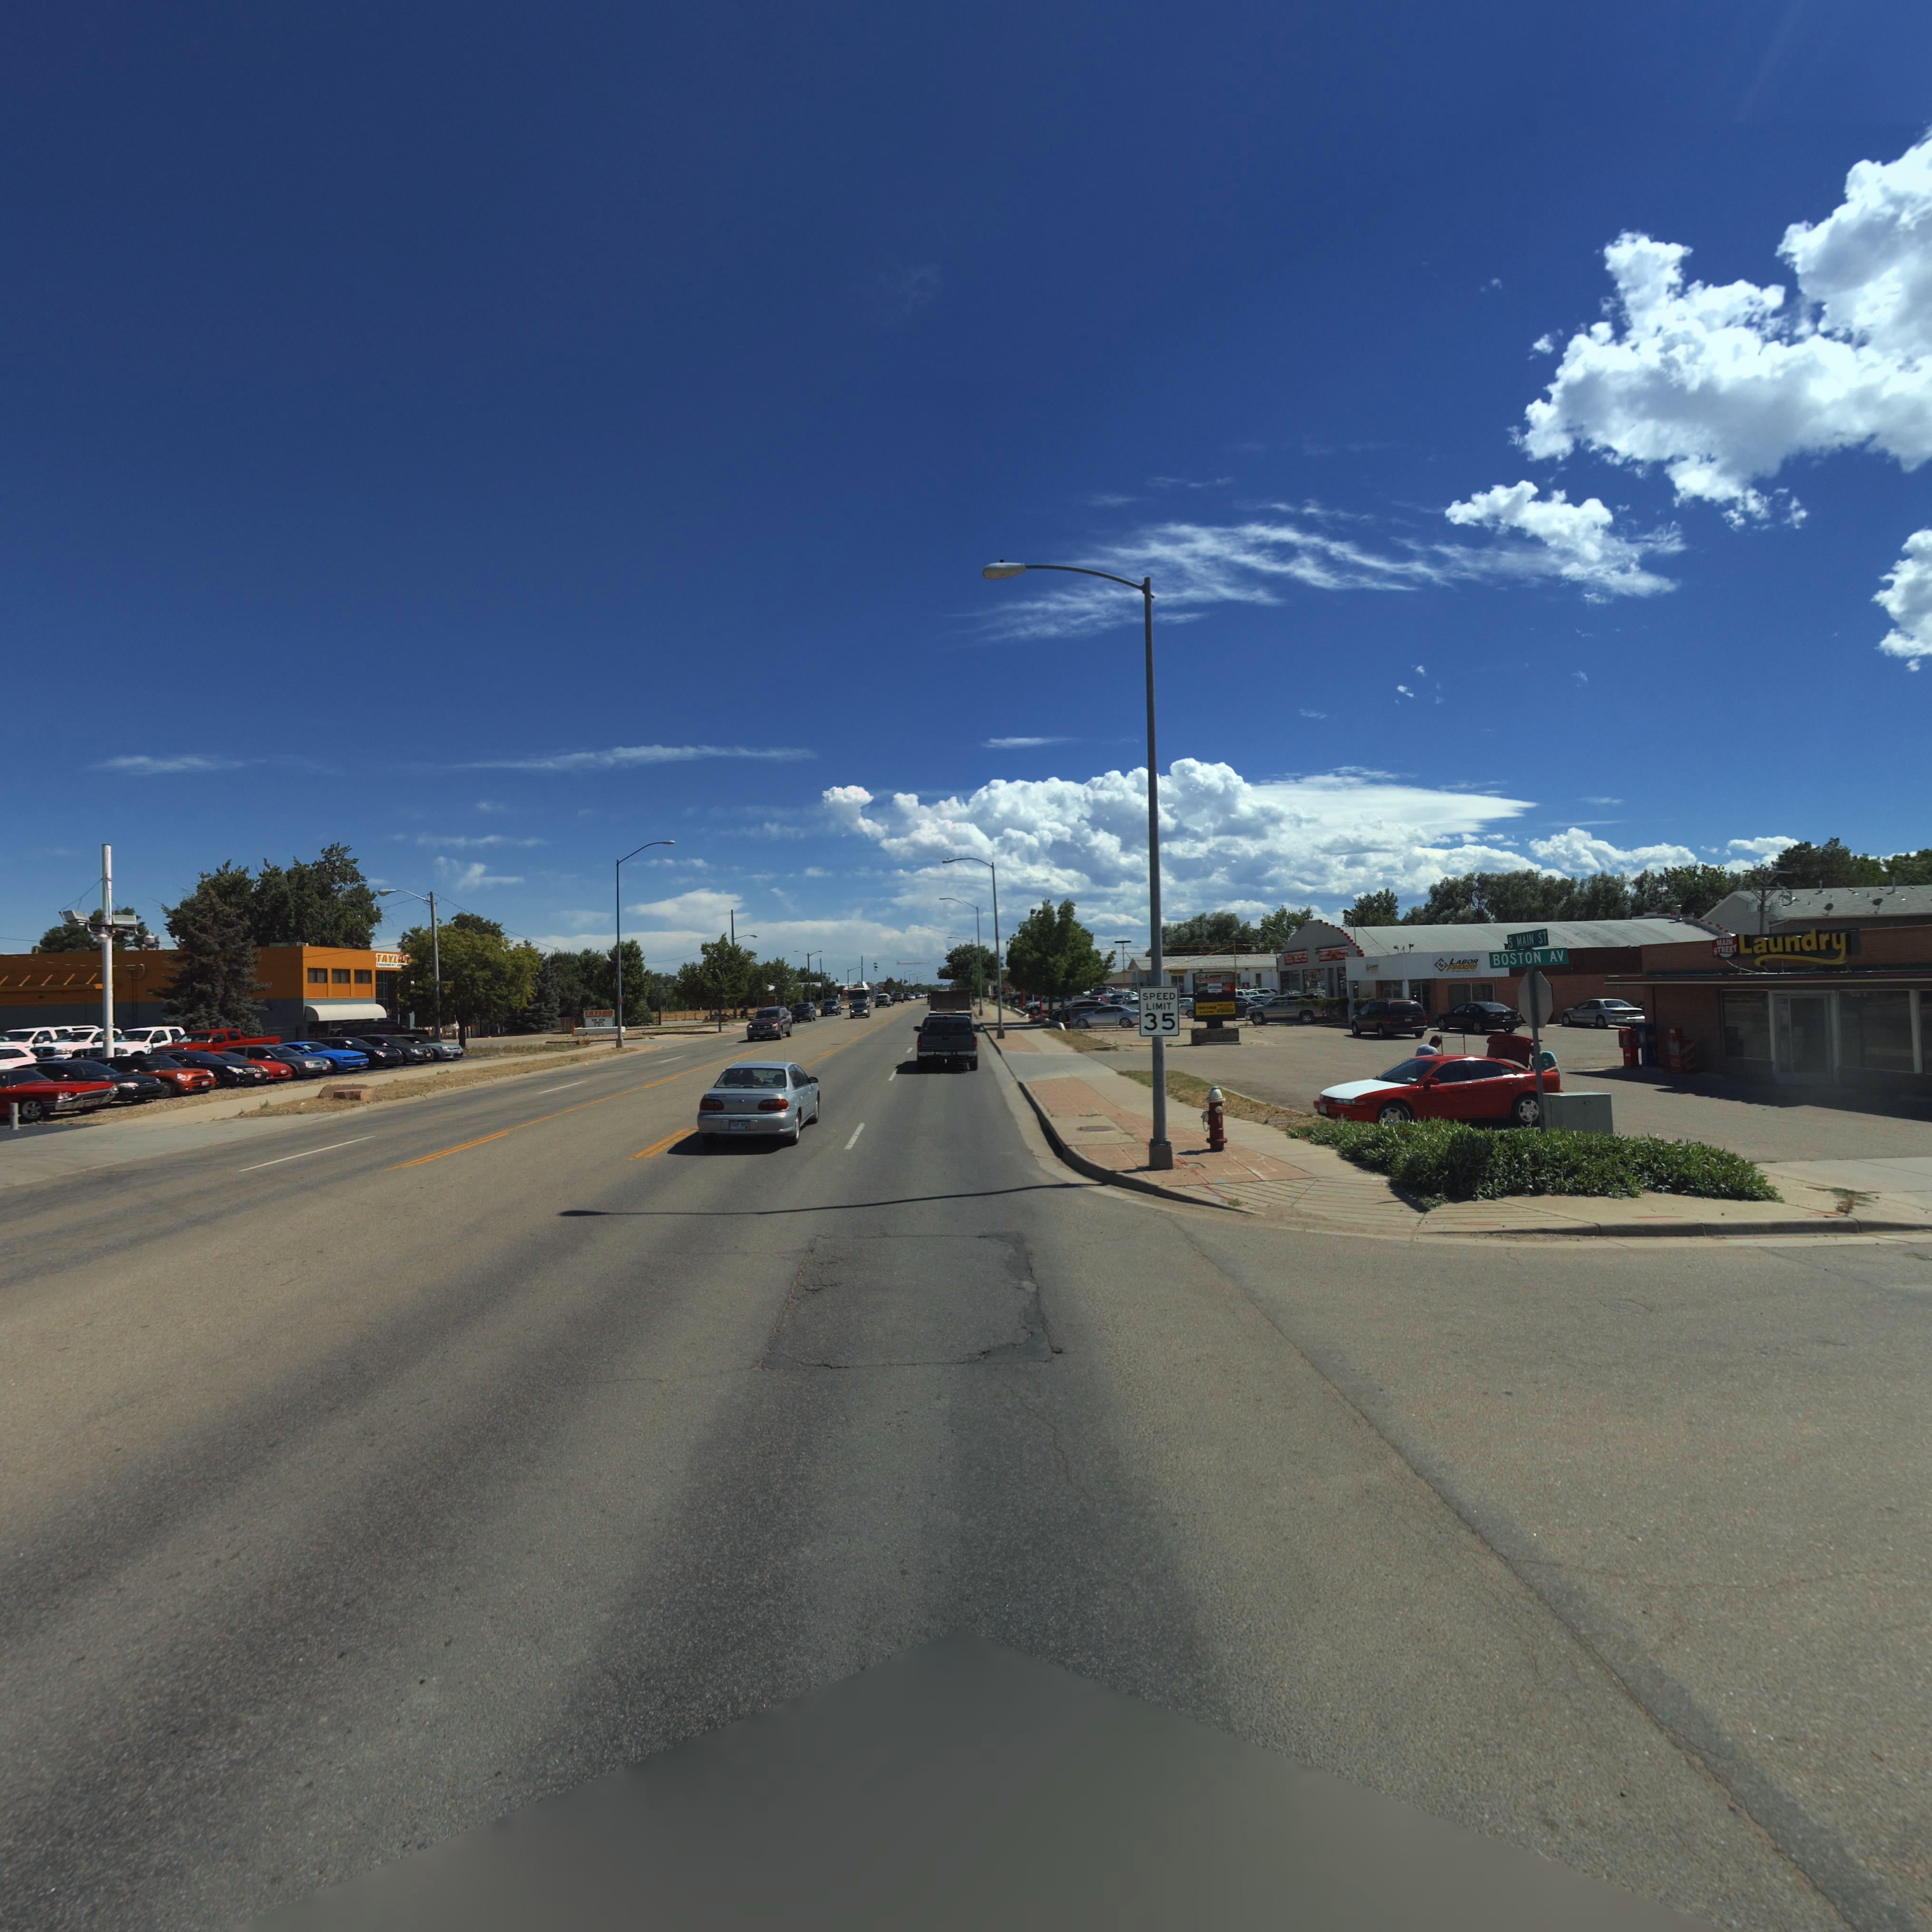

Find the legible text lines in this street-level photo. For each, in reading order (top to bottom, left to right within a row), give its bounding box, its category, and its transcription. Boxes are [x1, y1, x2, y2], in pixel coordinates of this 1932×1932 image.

[1508, 931, 1546, 948] StreetName: S MAIN ST
[1716, 938, 1733, 946] BusinessName: MAIN
[1713, 943, 1737, 955] BusinessName: STREET
[1738, 928, 1847, 962] BusinessName: Laundry
[377, 954, 397, 963] BusinessName: TAYL
[1449, 957, 1479, 965] BusinessName: LABOR
[1492, 949, 1564, 966] StreetName: BOSTON AV
[1369, 964, 1372, 968] BusinessName: L
[1445, 964, 1478, 972] BusinessName: FINDERS
[1204, 974, 1222, 978] BusinessName: LABO*
[1197, 985, 1231, 992] BusinessName: **** ACCESO****
[584, 1010, 613, 1016] BusinessName: TAYLOR